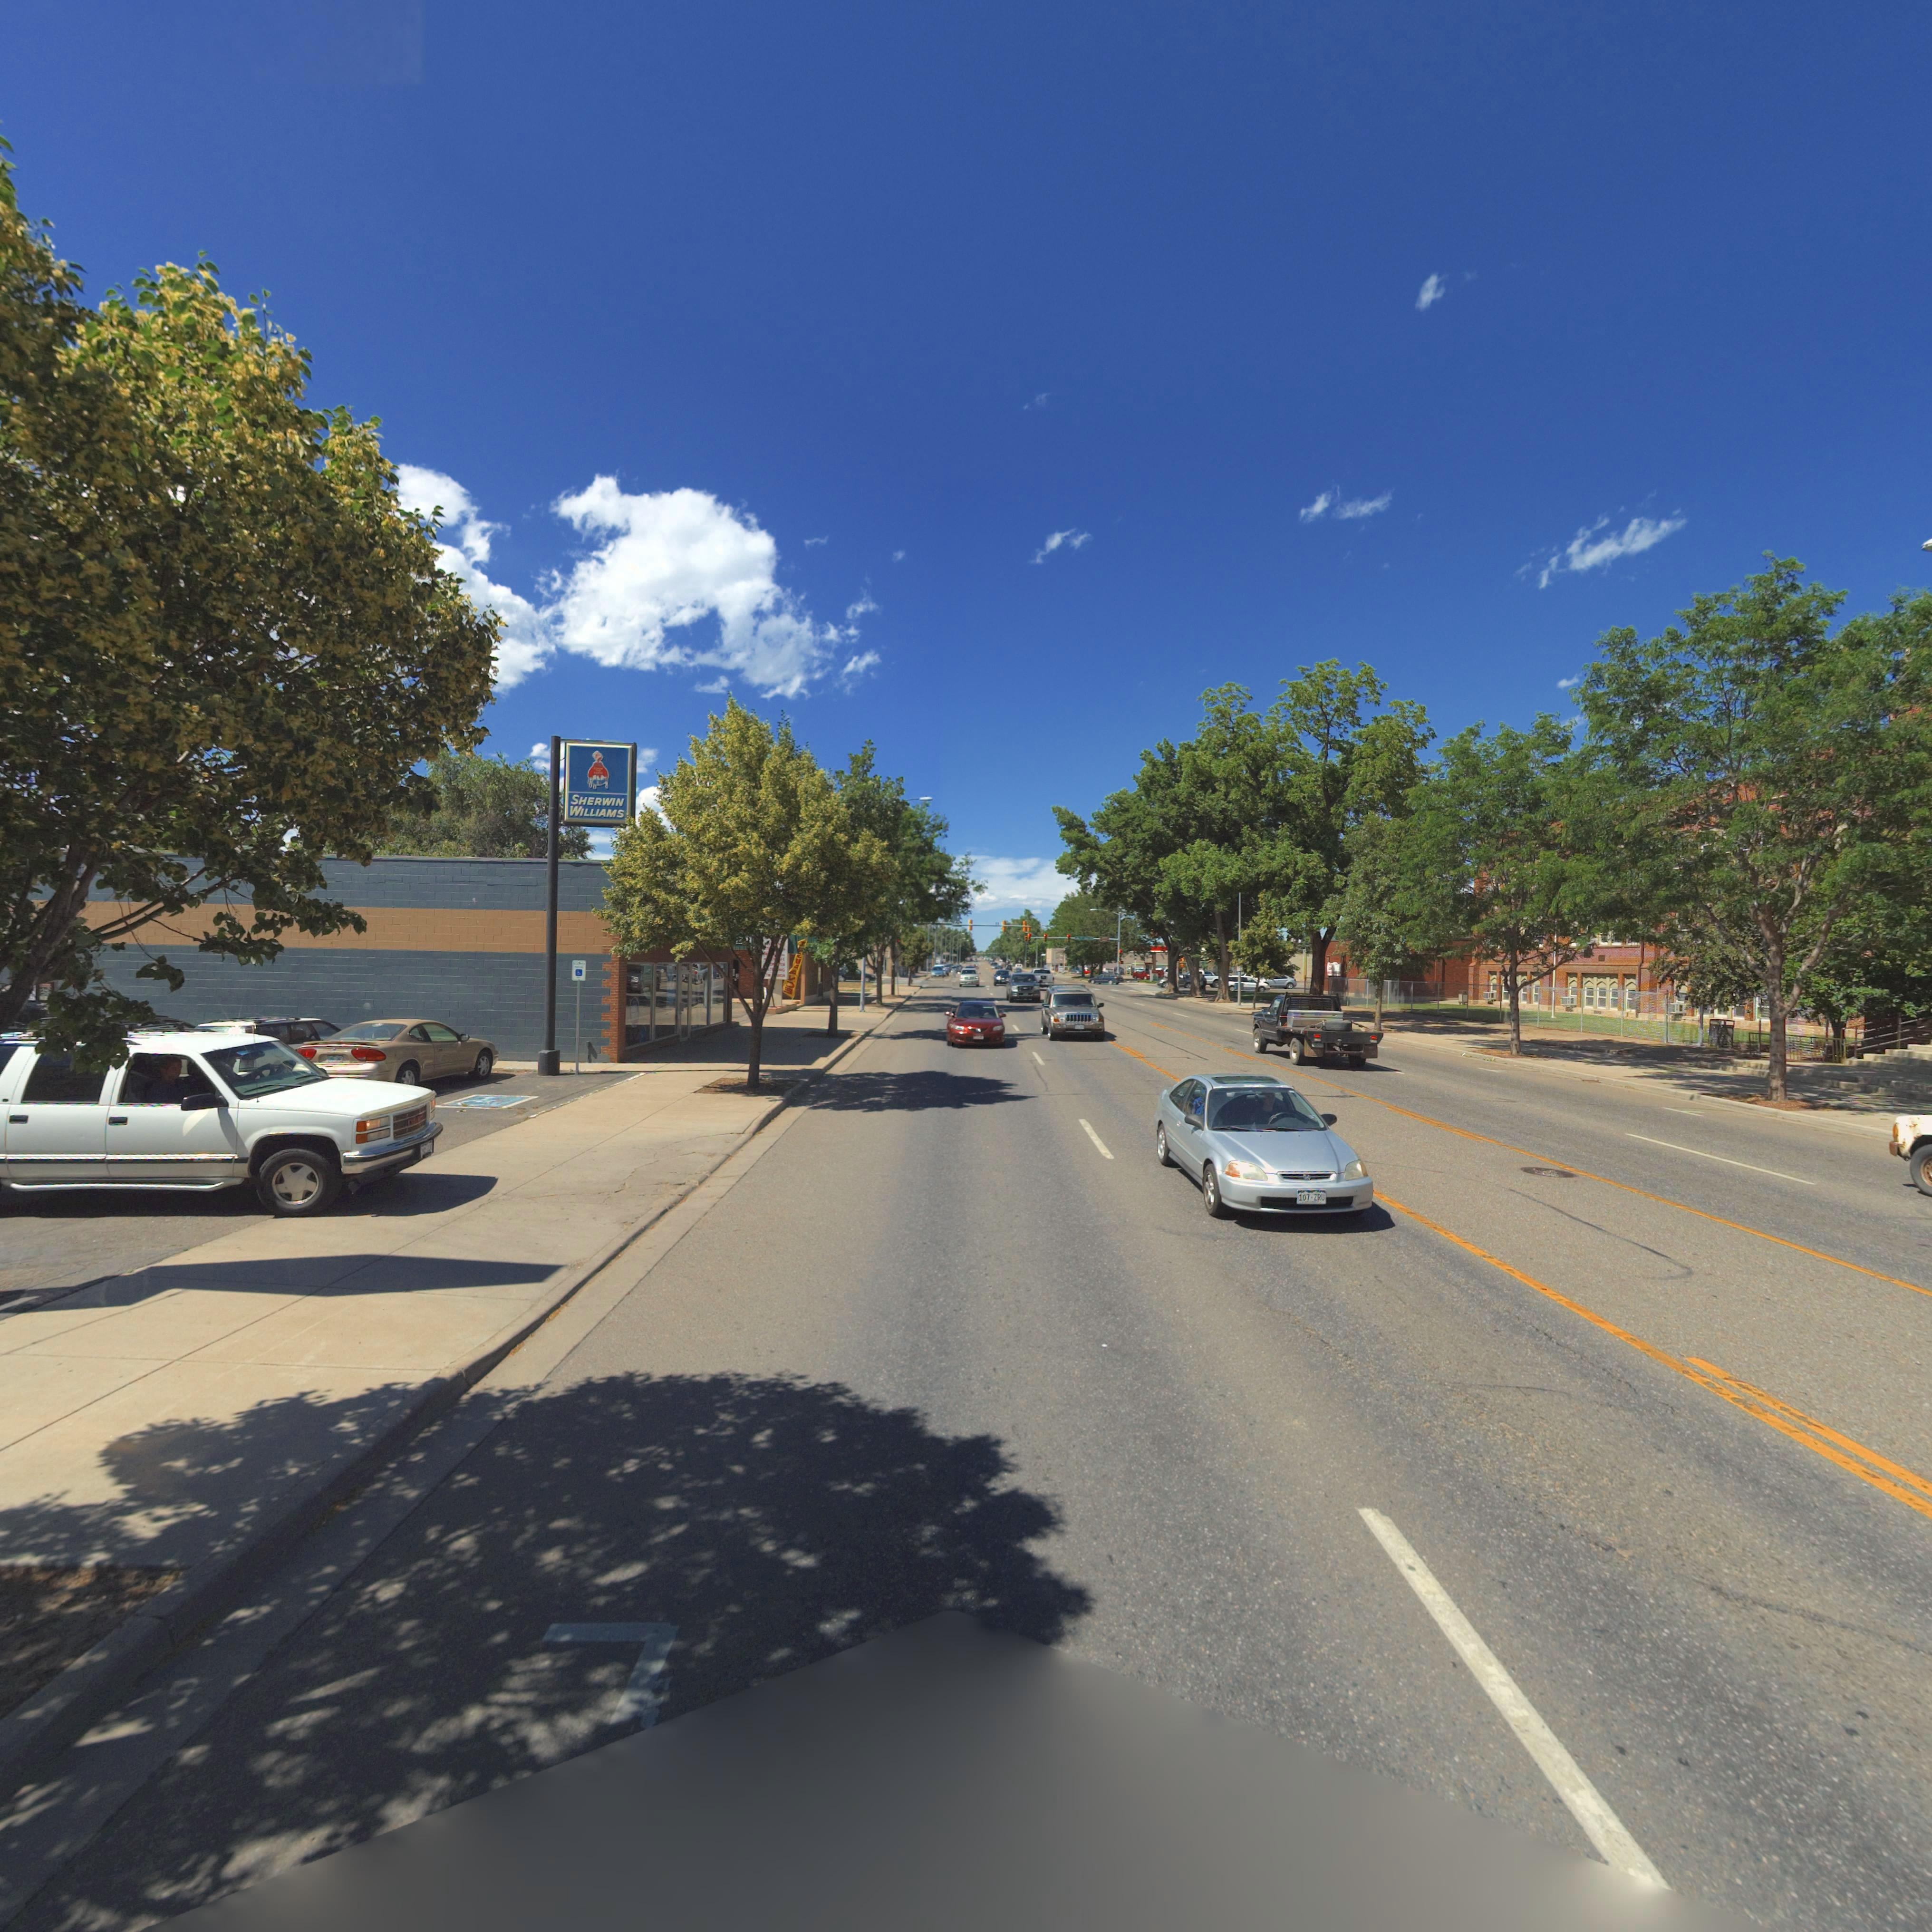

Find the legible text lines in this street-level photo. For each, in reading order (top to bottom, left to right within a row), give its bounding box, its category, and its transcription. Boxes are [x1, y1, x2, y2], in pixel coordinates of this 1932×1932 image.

[570, 793, 625, 807] BusinessName: SHERWIN
[569, 805, 625, 819] BusinessName: WILLIAMS
[781, 957, 785, 961] BusinessName: *E
[769, 962, 785, 966] BusinessName: ******N
[765, 973, 785, 977] BusinessName: TM ****GN